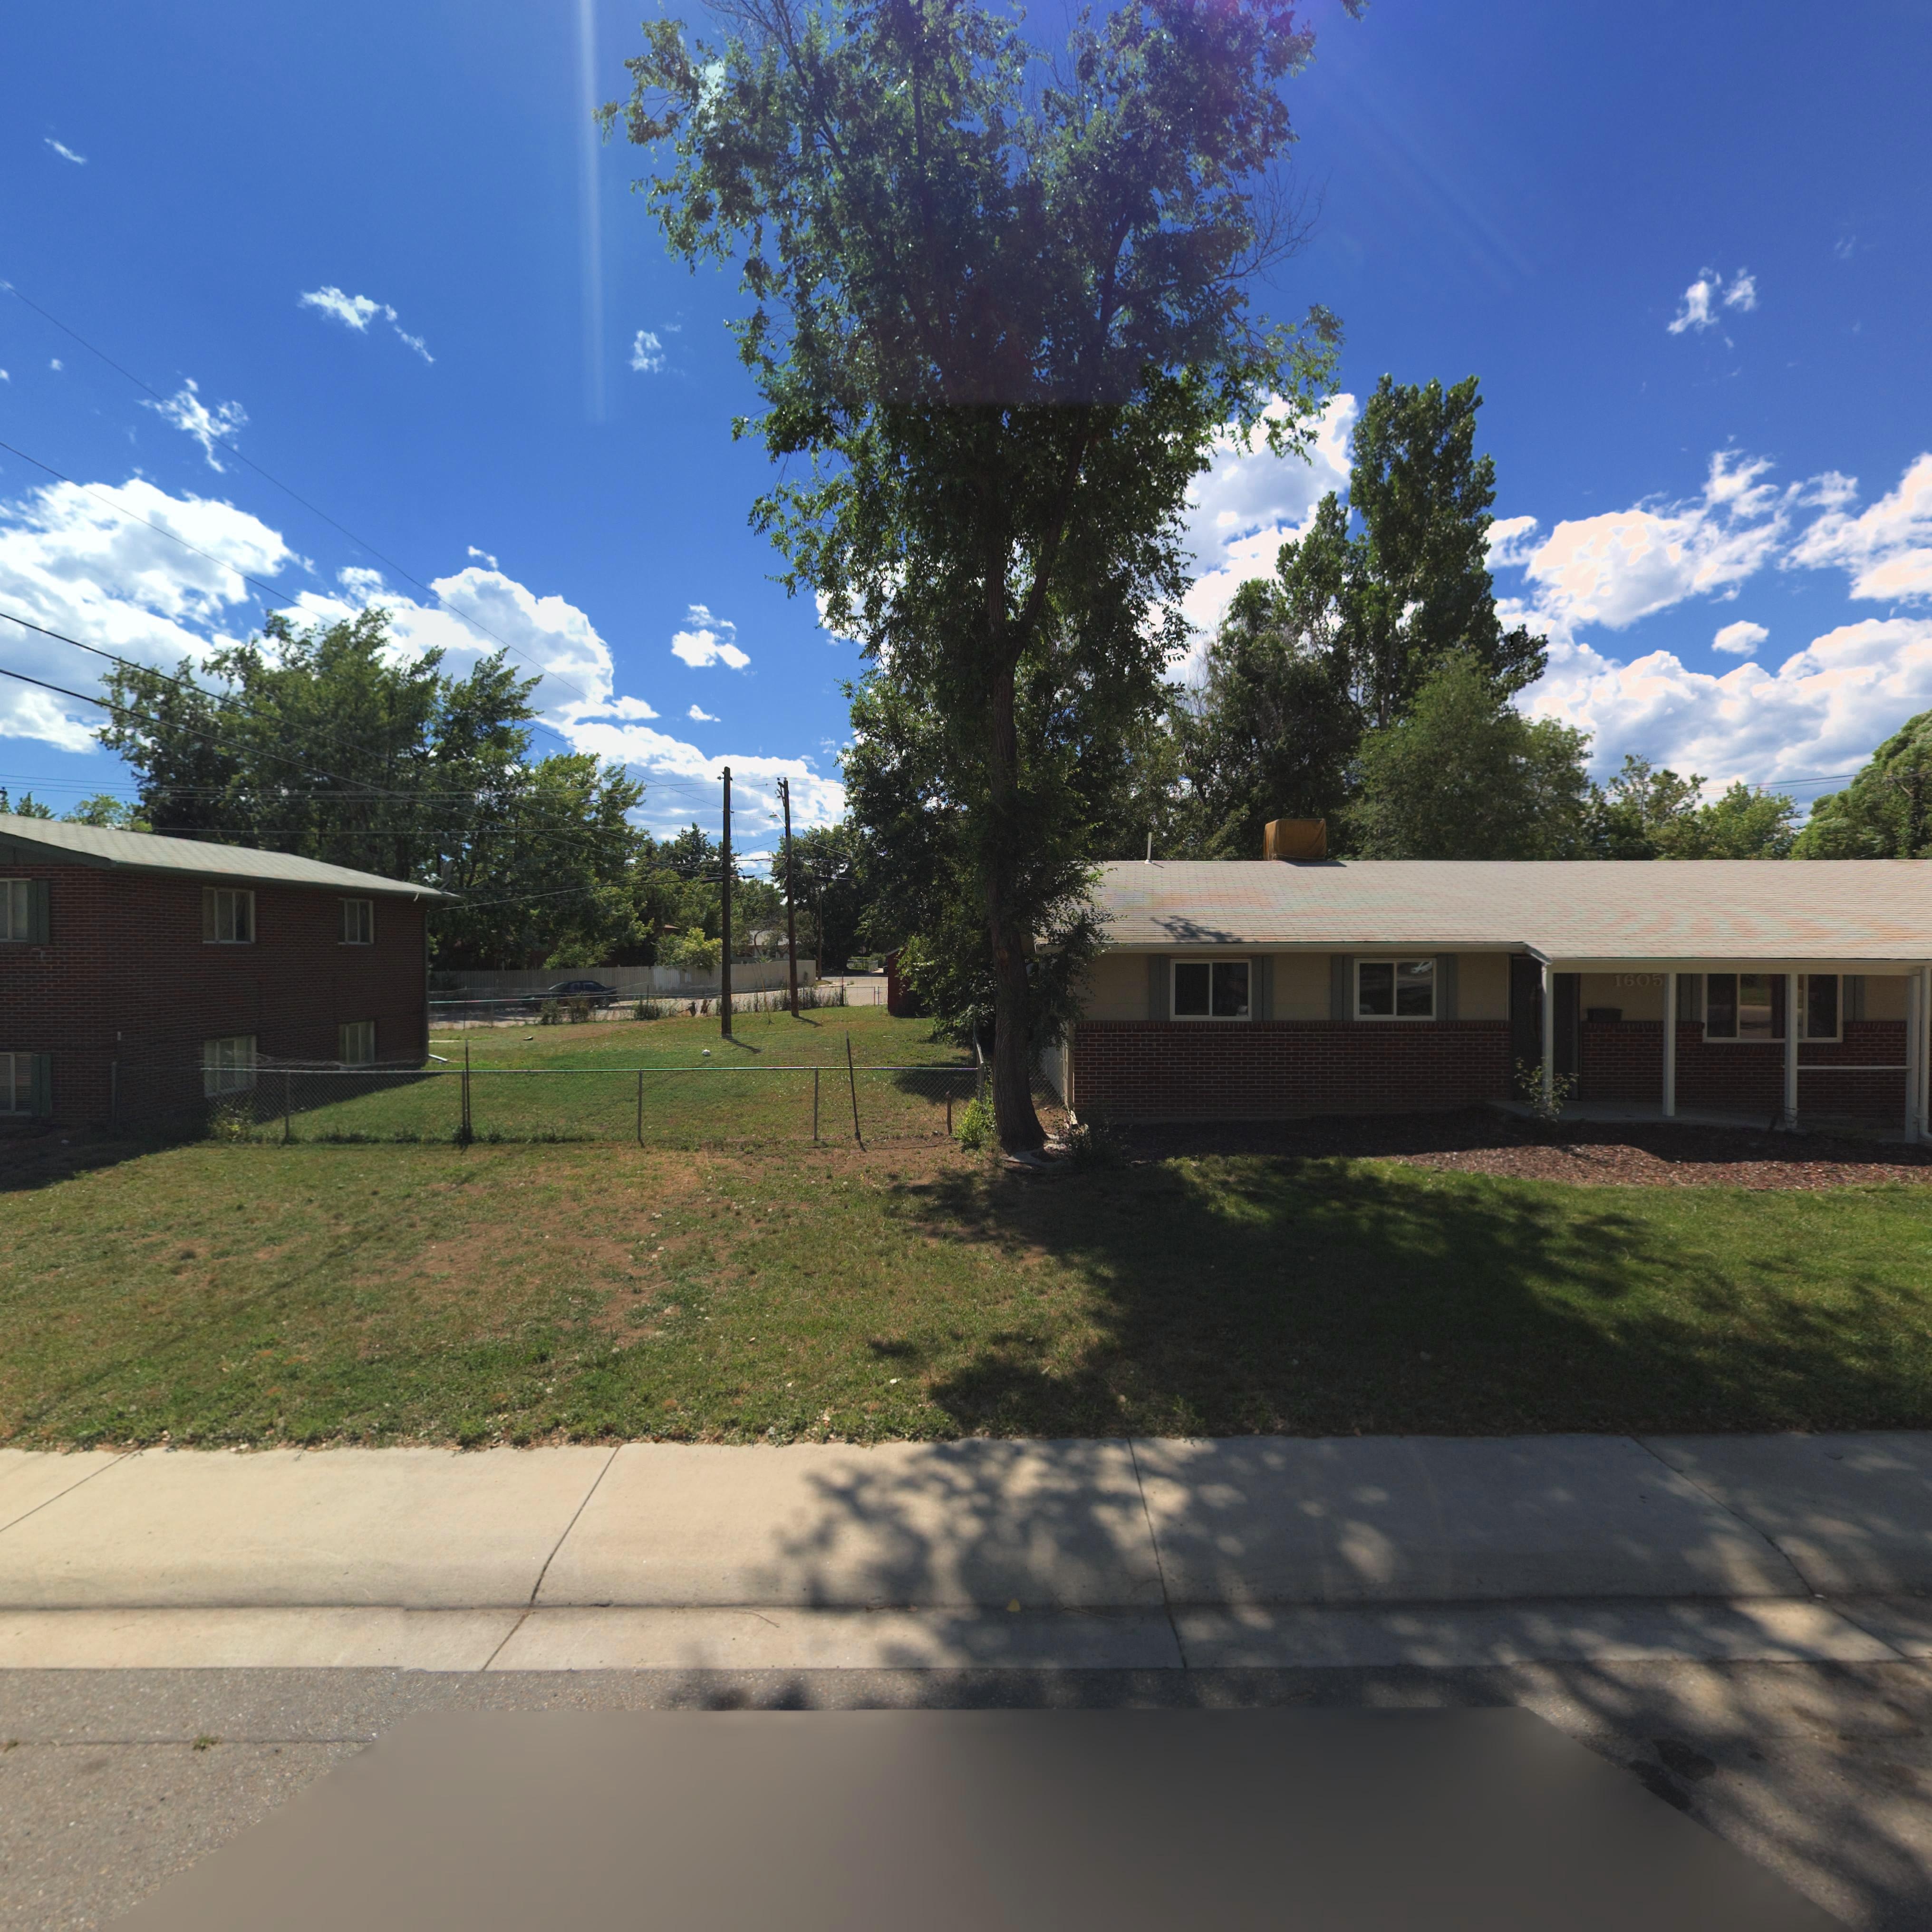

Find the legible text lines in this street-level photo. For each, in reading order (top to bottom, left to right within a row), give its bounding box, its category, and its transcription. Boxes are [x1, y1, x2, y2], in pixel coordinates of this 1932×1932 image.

[1613, 972, 1664, 987] StreetNumber: 1605